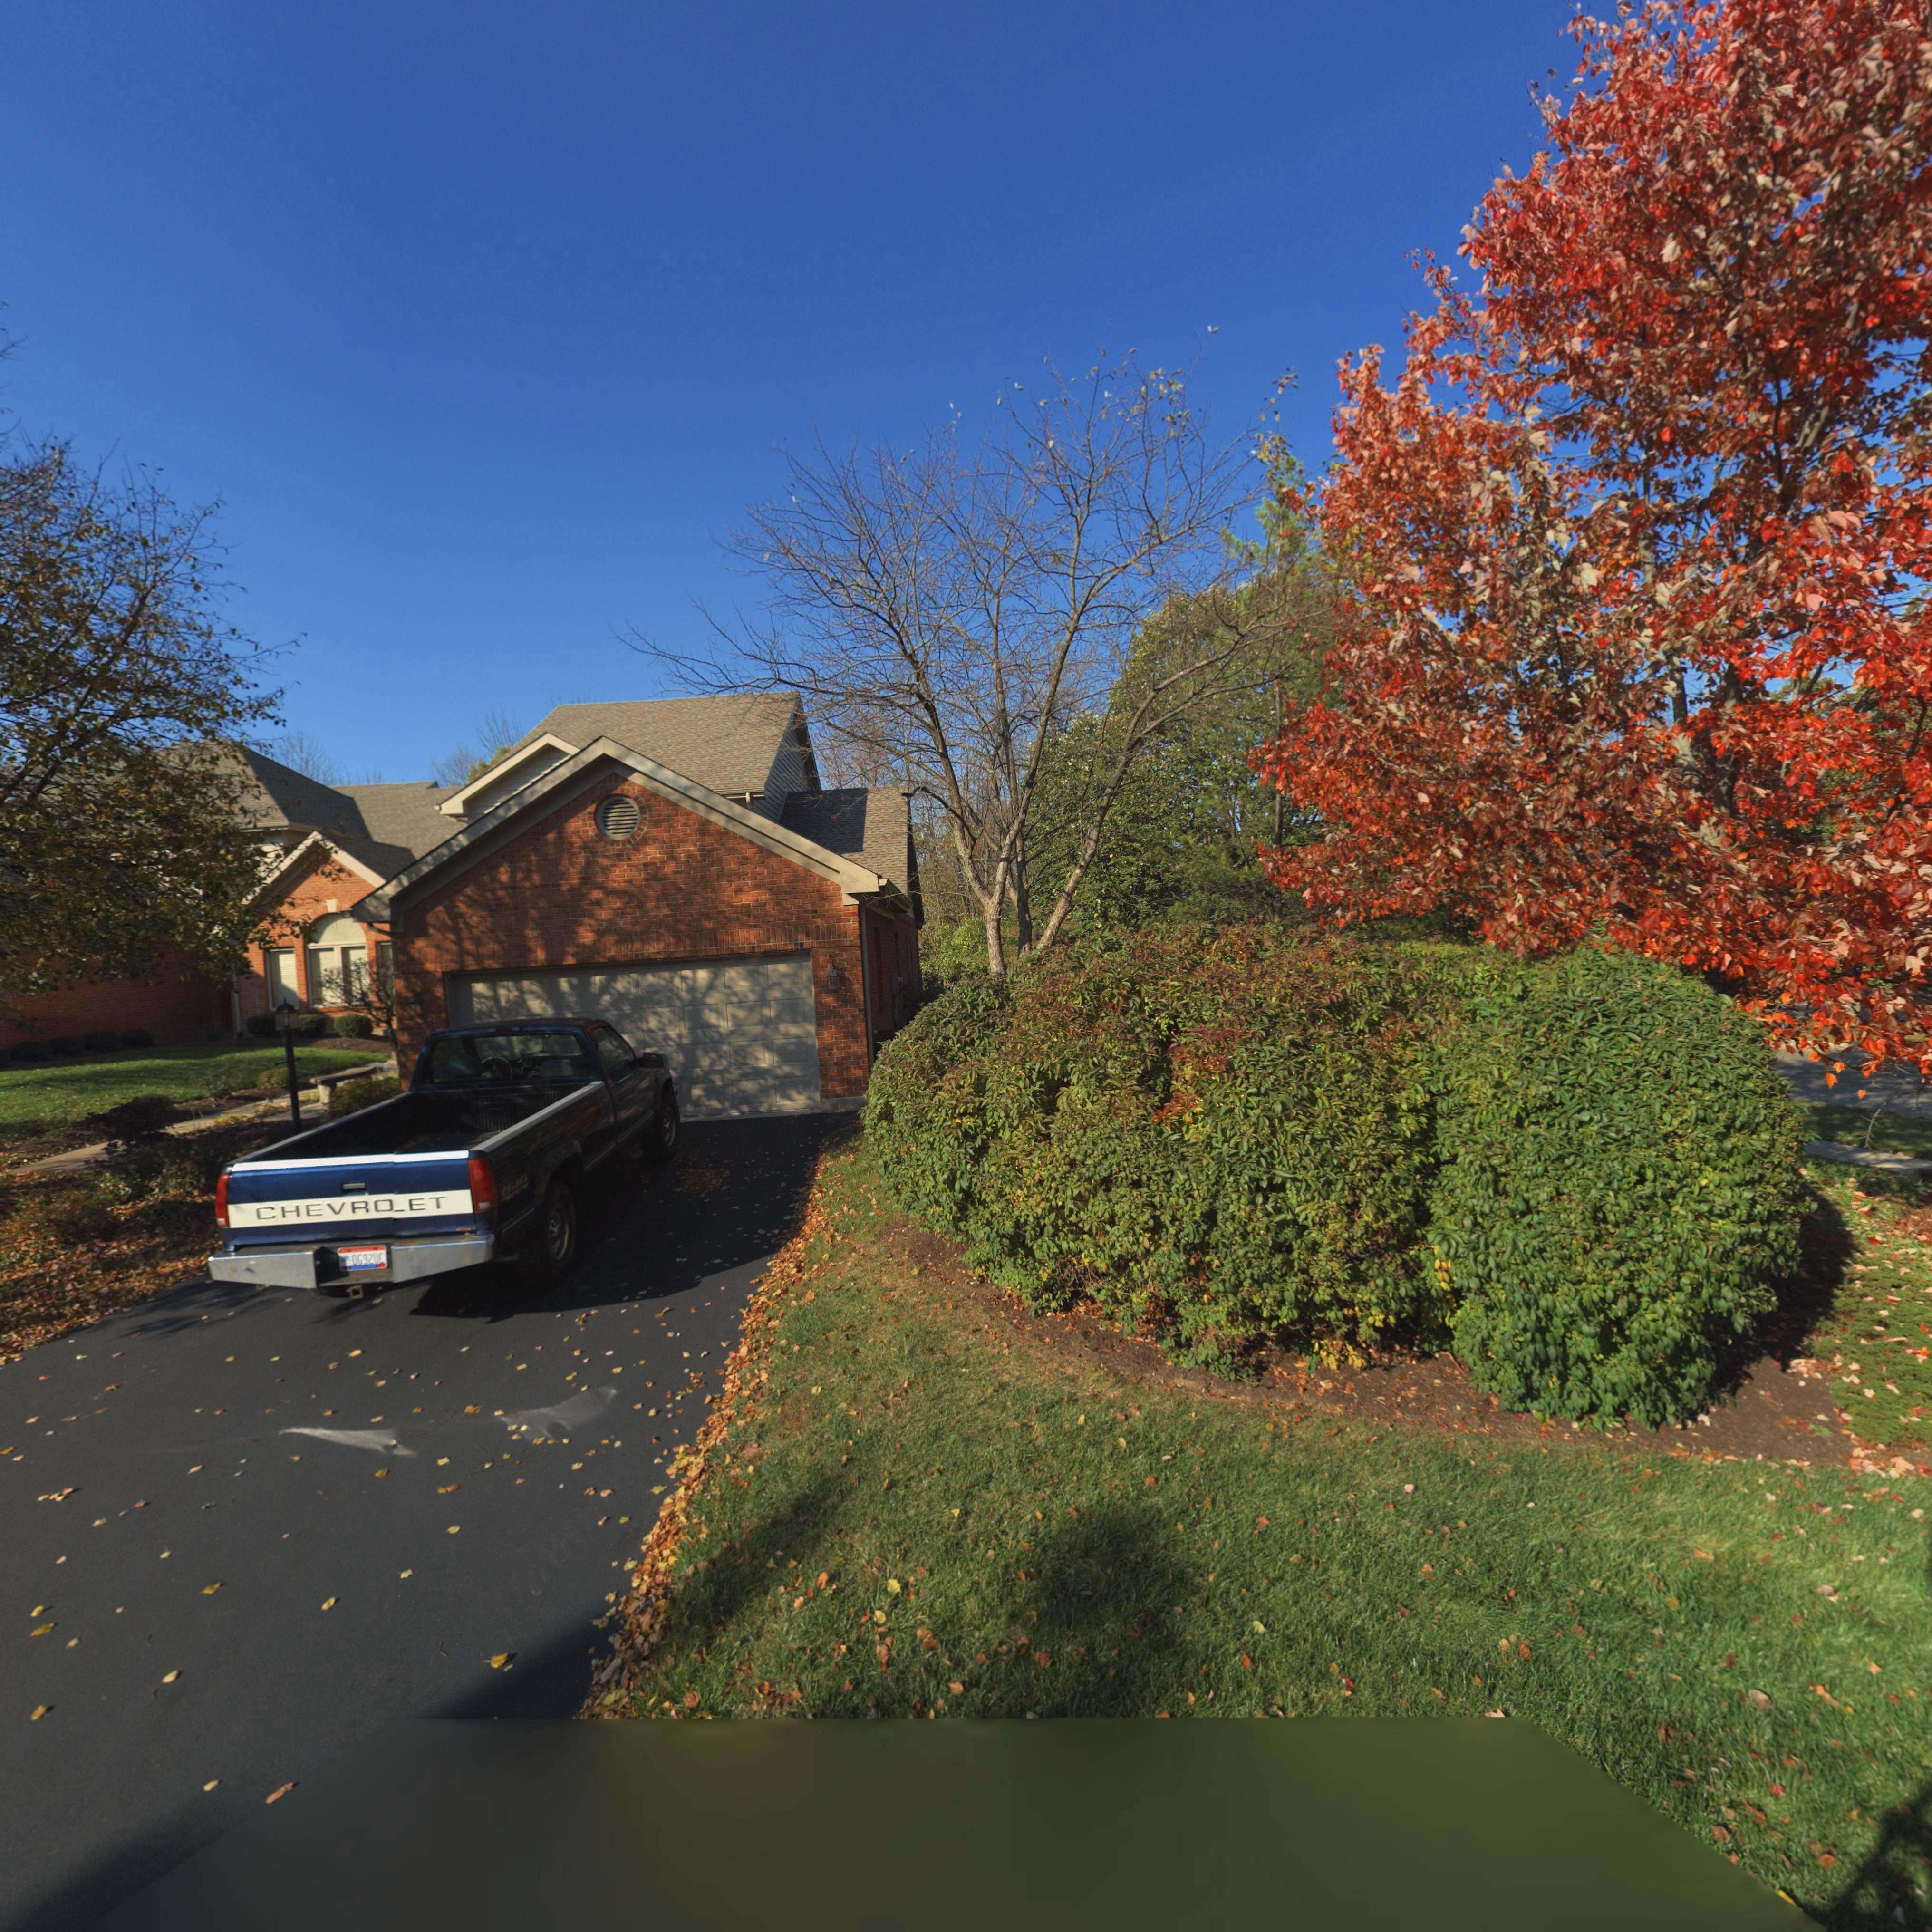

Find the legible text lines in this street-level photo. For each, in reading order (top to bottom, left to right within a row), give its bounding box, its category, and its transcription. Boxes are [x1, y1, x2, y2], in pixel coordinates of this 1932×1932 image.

[615, 937, 635, 952] StreetNumber: 801